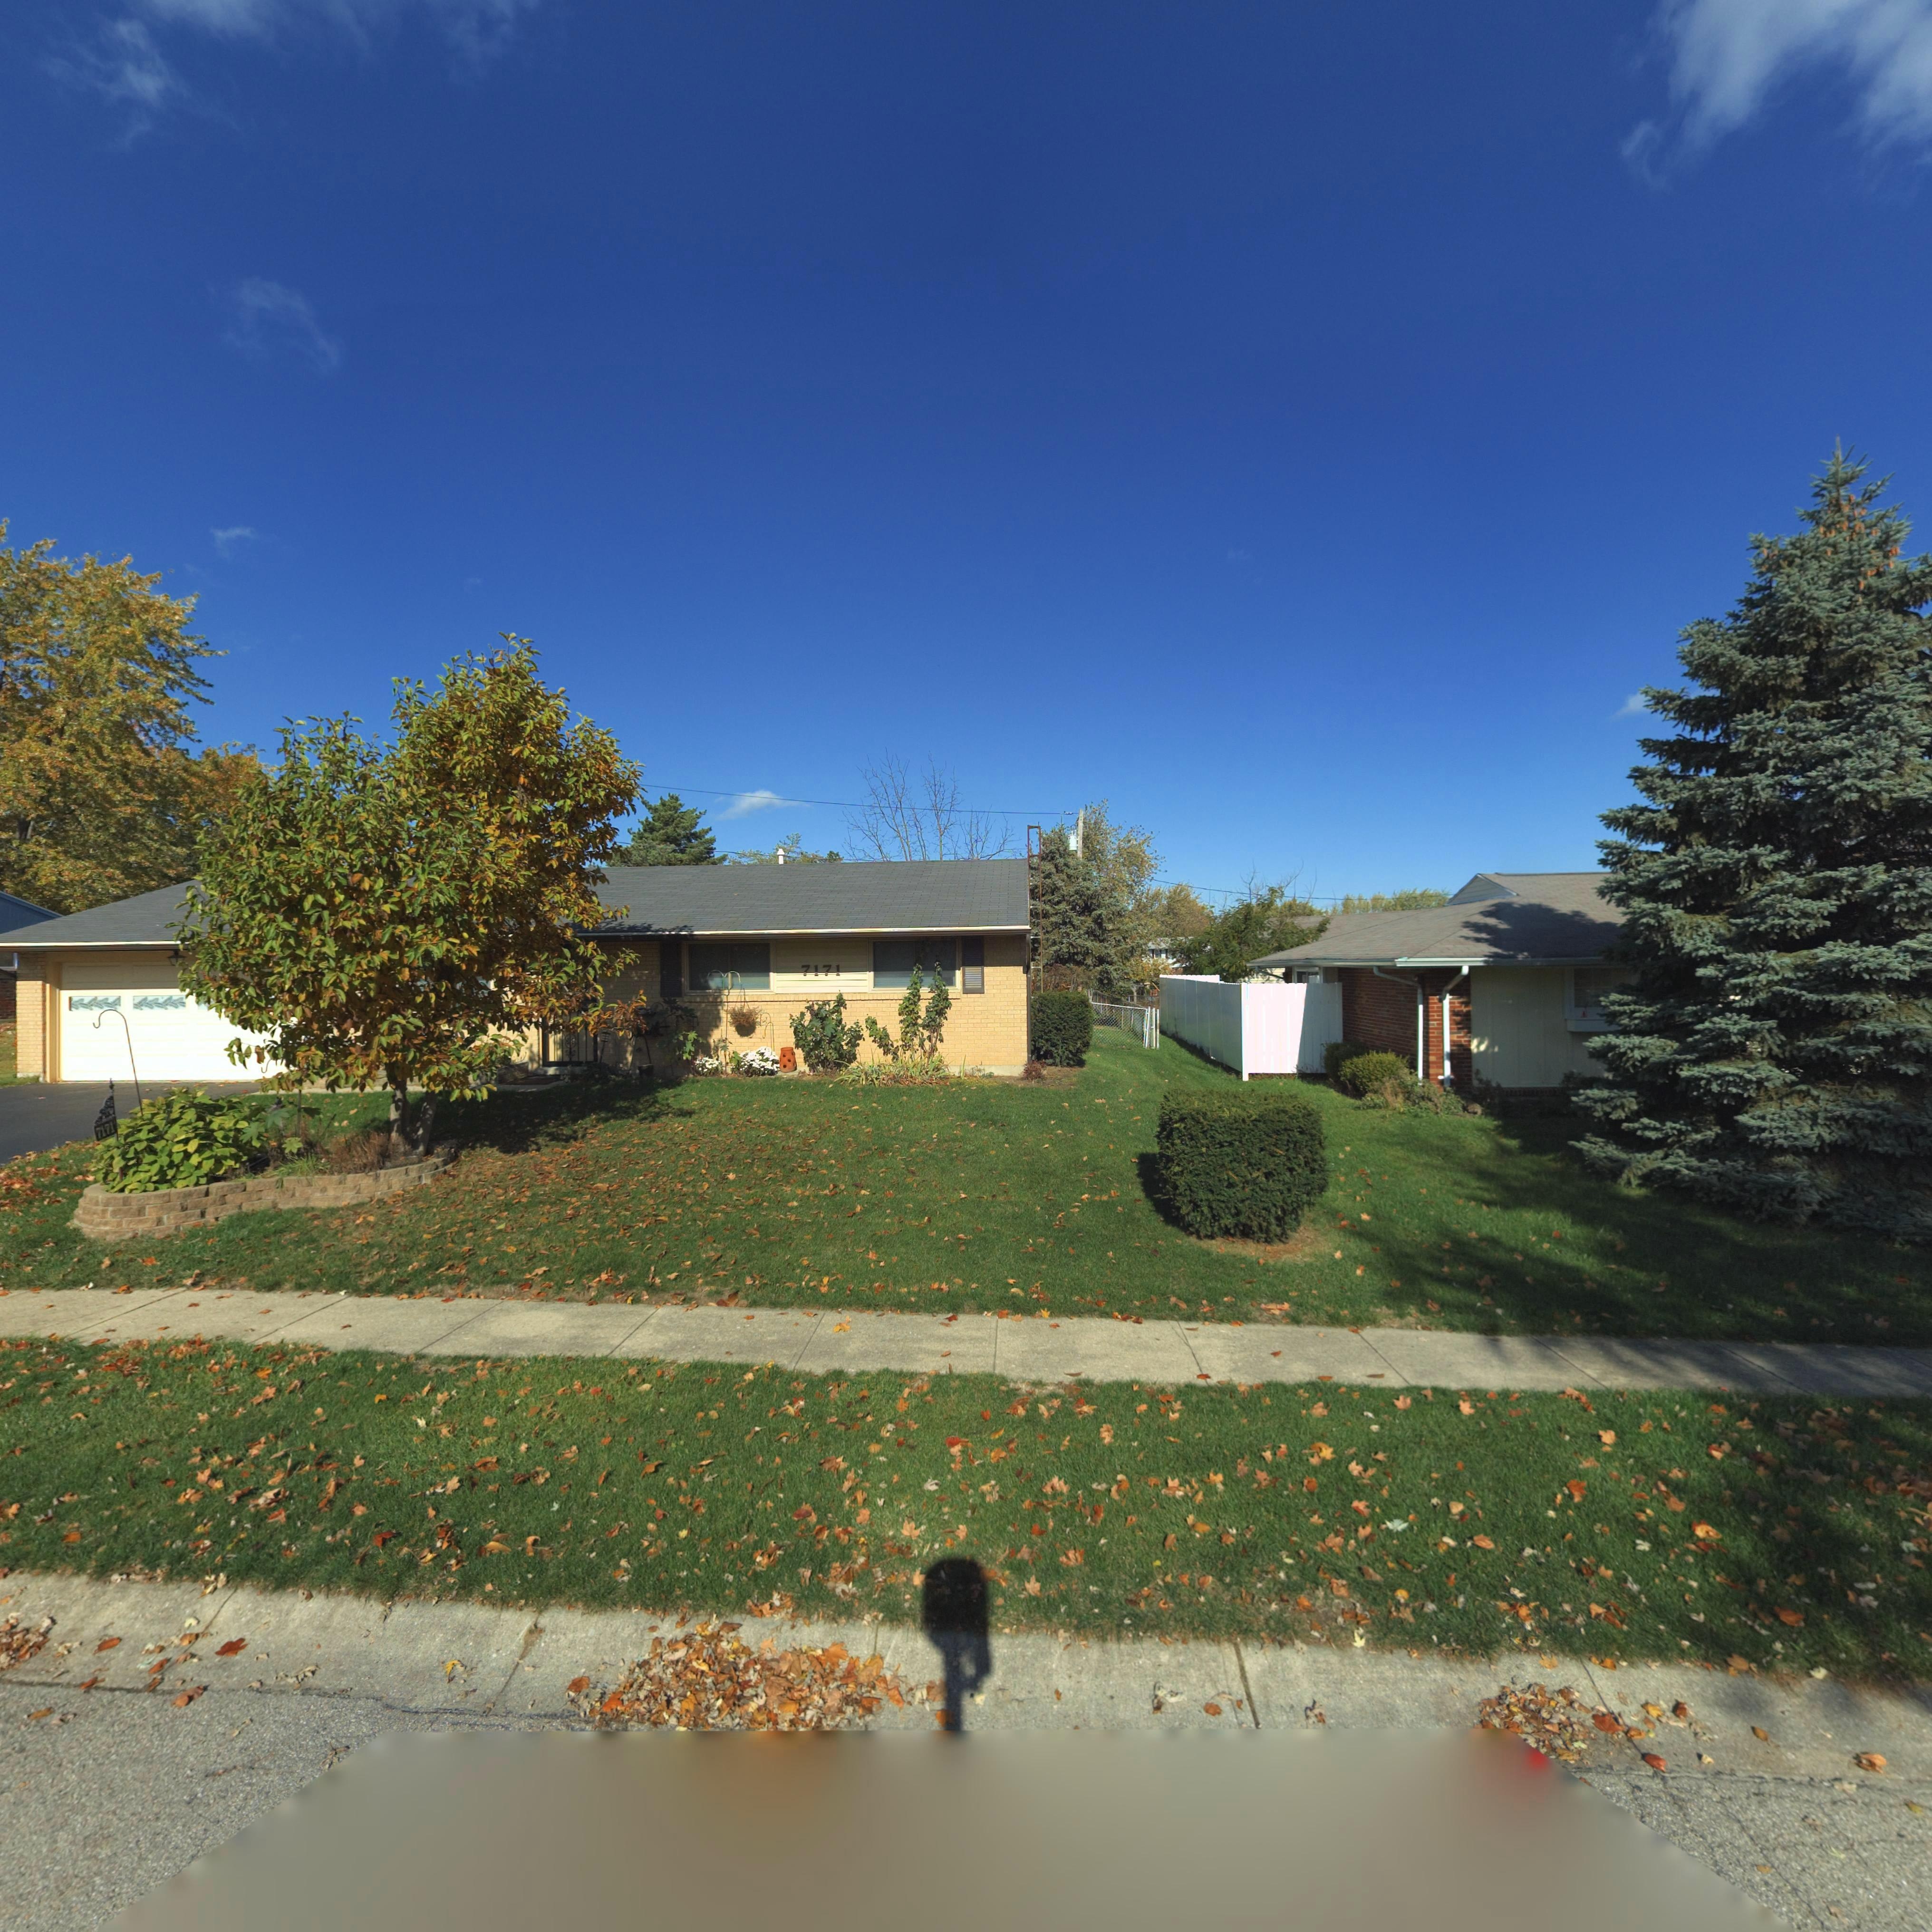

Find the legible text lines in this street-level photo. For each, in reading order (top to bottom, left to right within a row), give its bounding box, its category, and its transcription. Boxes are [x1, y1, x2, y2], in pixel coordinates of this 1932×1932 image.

[800, 963, 841, 977] StreetNumber: 7171